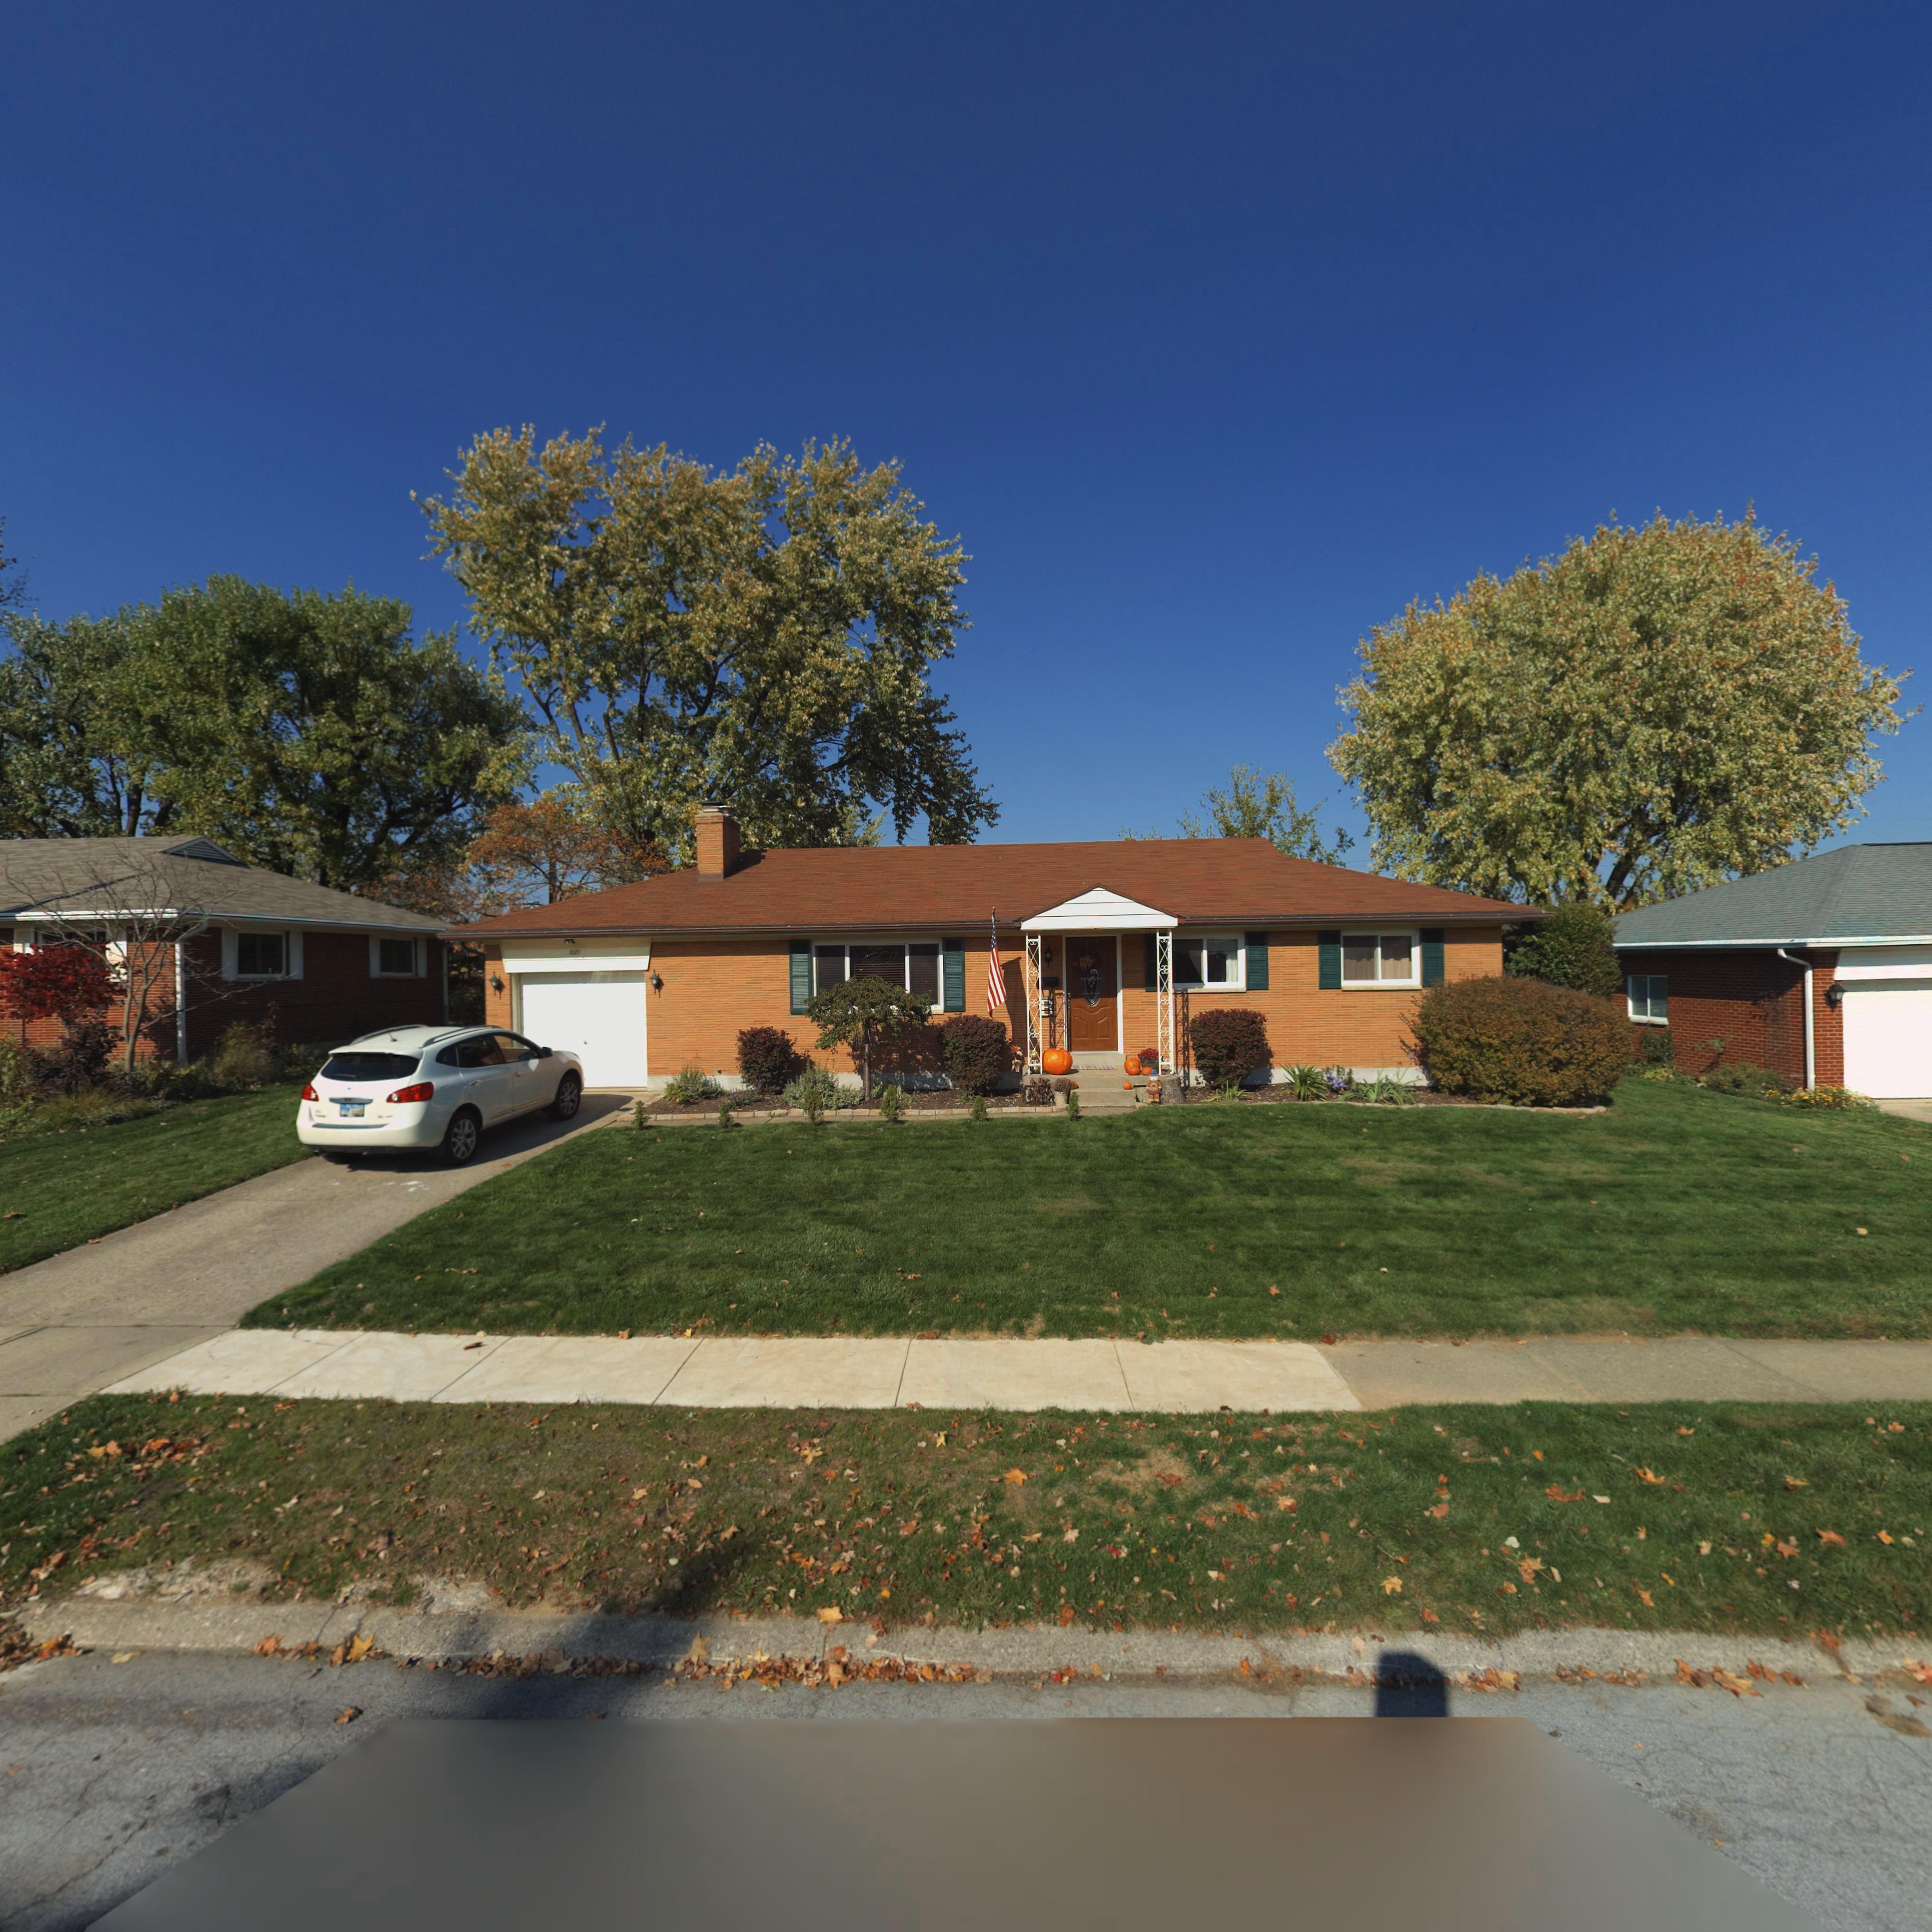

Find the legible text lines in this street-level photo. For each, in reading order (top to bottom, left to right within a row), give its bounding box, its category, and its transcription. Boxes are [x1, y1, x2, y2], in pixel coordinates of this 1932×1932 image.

[568, 949, 581, 955] StreetNumber: 1019